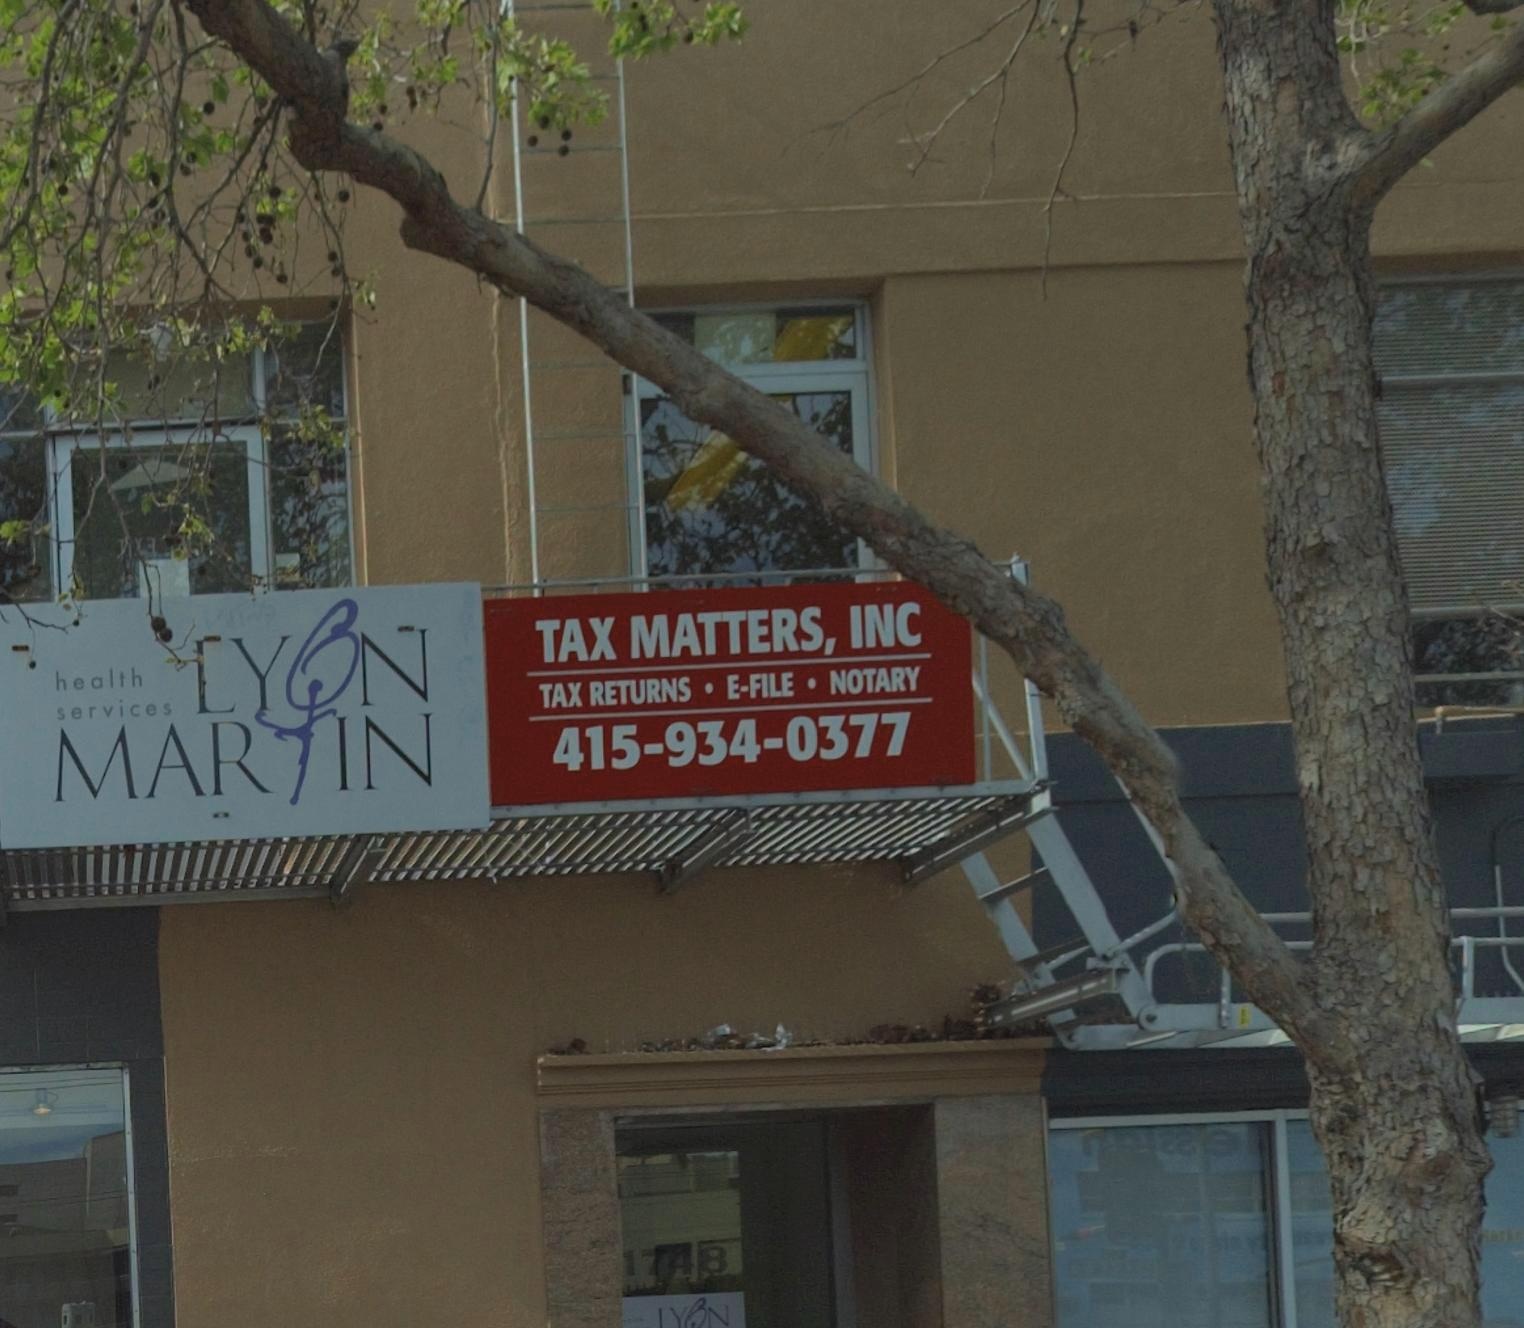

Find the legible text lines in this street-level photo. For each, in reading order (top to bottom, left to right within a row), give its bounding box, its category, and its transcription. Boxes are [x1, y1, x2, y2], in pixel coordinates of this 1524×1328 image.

[53, 662, 146, 695] BusinessName: health
[54, 696, 176, 724] BusinessName: services
[51, 706, 436, 809] BusinessName: MAR*IN
[191, 592, 434, 719] BusinessName: LY*N
[532, 596, 927, 666] BusinessName: TAX MATTERS, INC
[535, 661, 926, 712] None: TAX RETURNS * E-FILE * NOTARY
[549, 708, 915, 776] None: 415-934-0377
[619, 1242, 731, 1279] StreetNumber: 1748